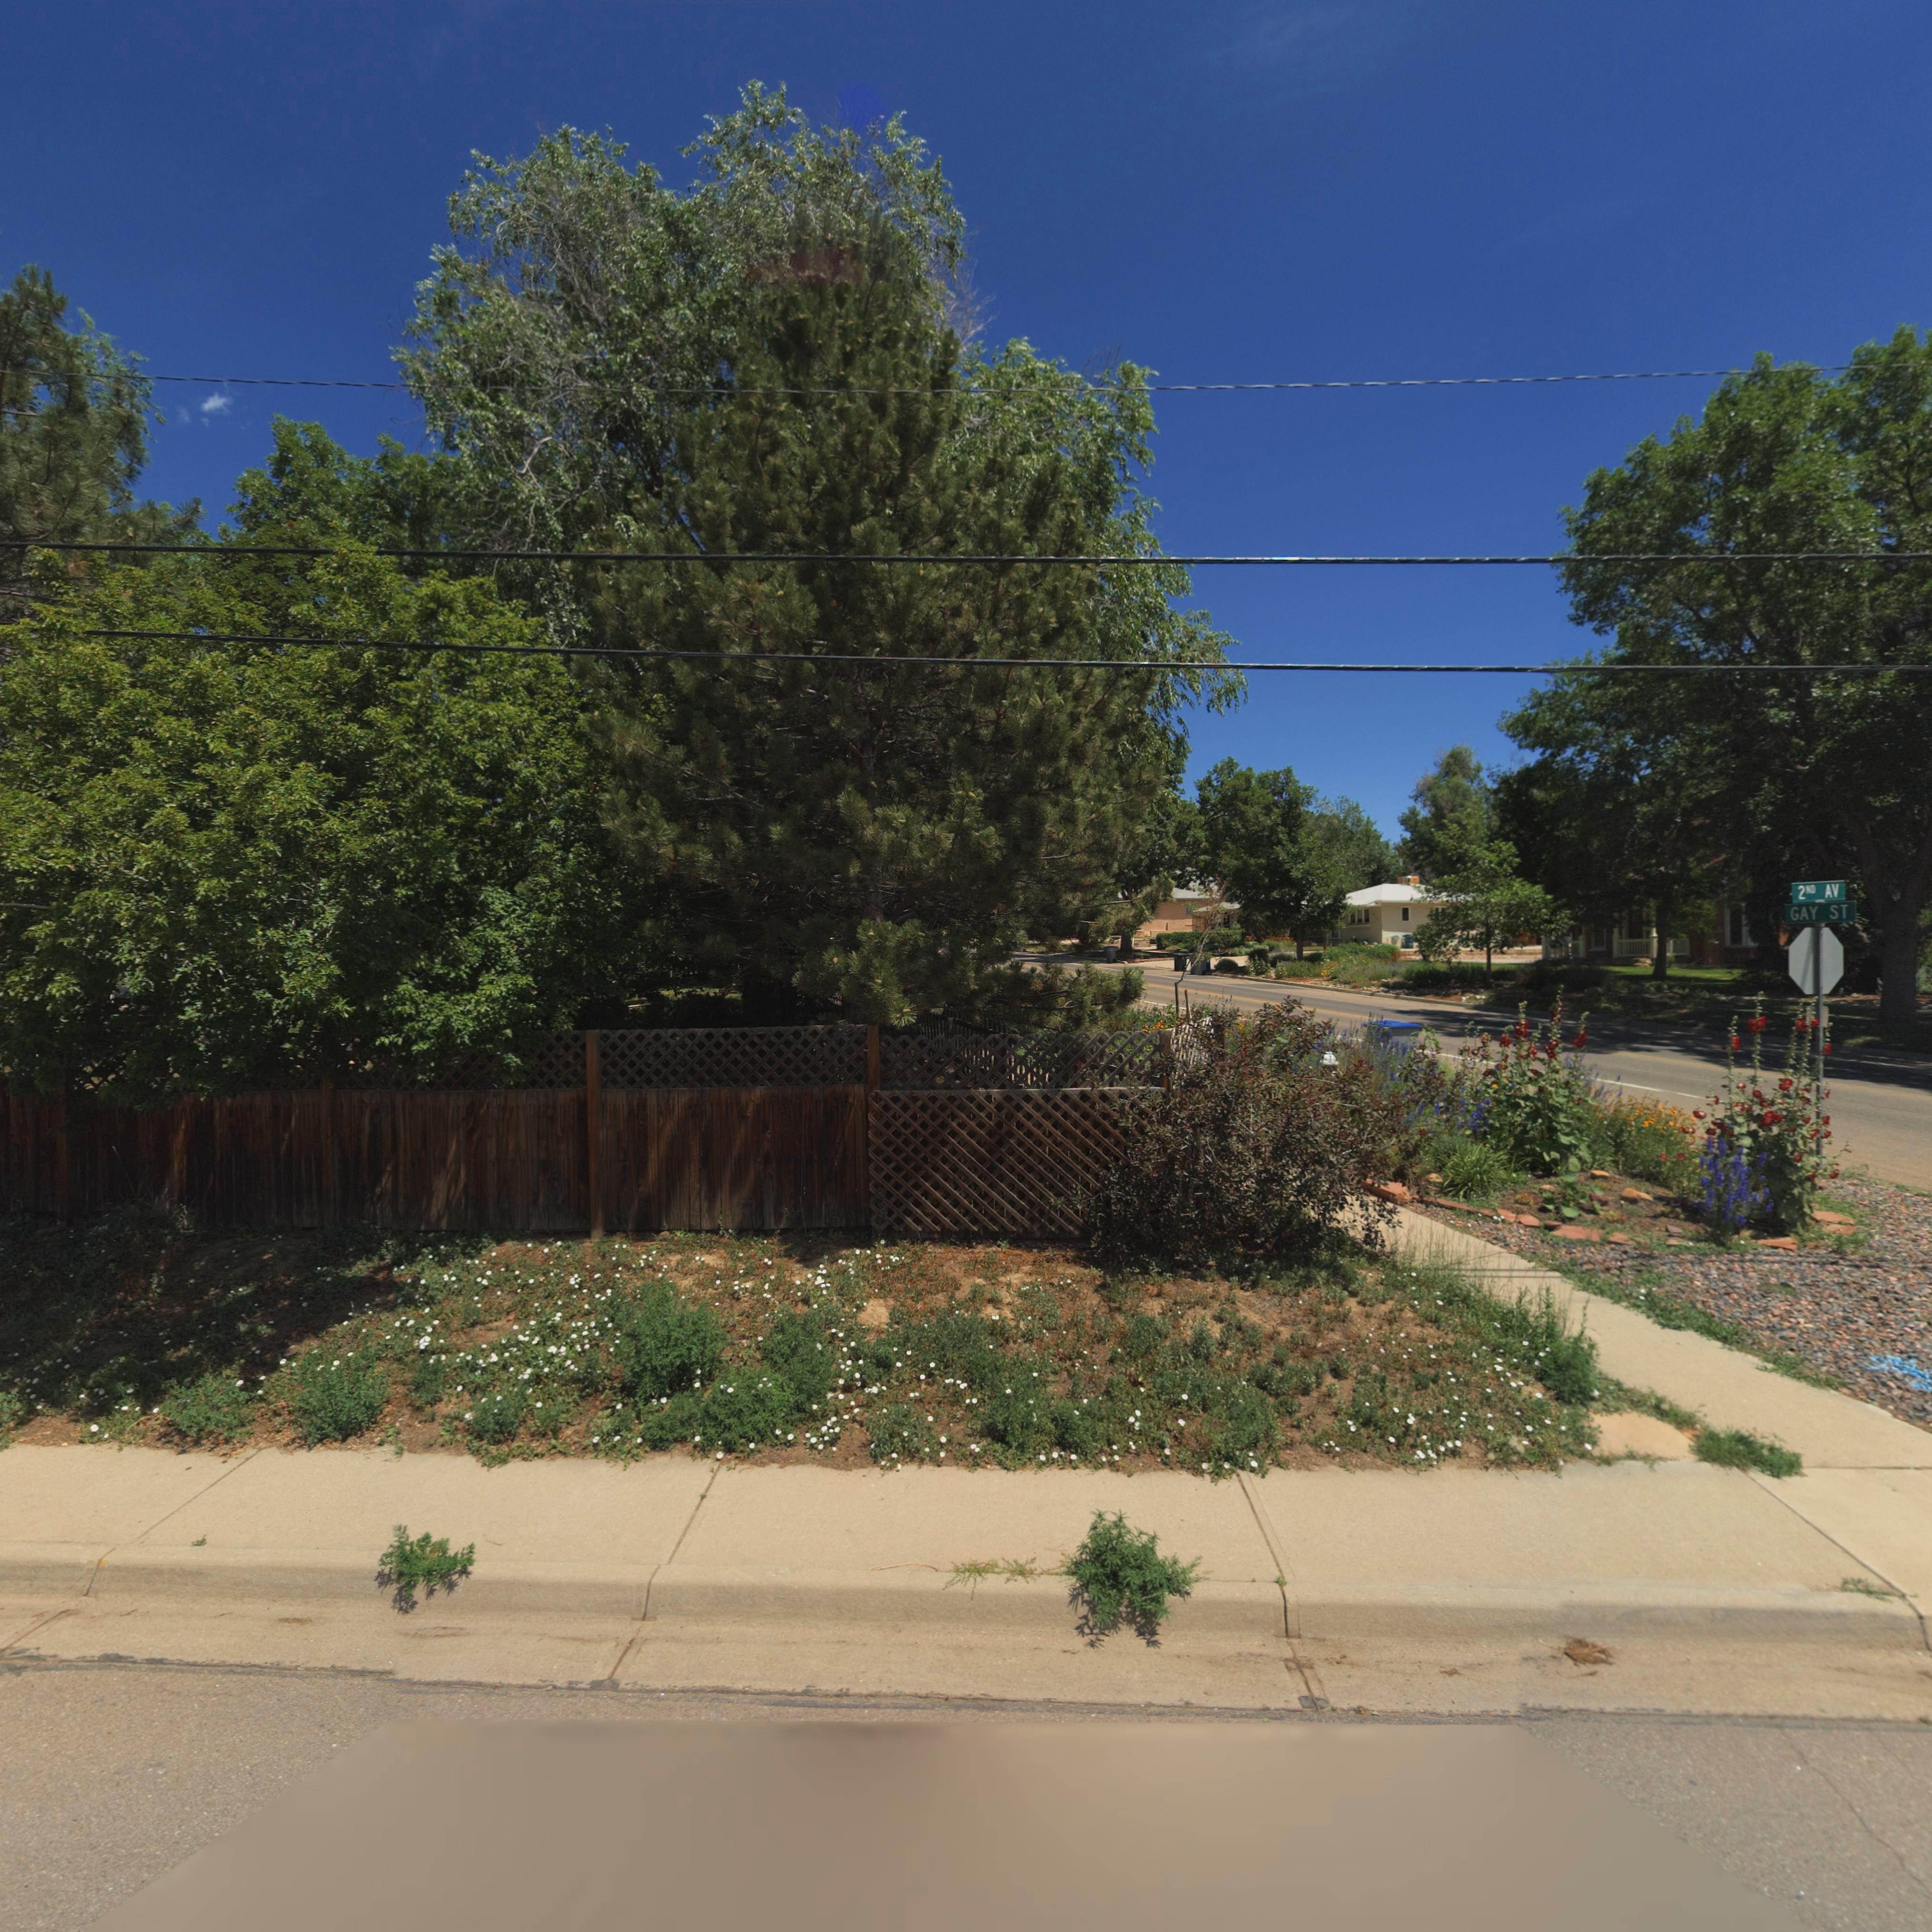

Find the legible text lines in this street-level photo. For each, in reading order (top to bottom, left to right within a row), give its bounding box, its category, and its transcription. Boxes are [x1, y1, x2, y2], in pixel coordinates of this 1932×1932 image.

[1797, 883, 1839, 900] StreetName: 2ND AV
[1790, 904, 1848, 920] BusinessName: GAY ST